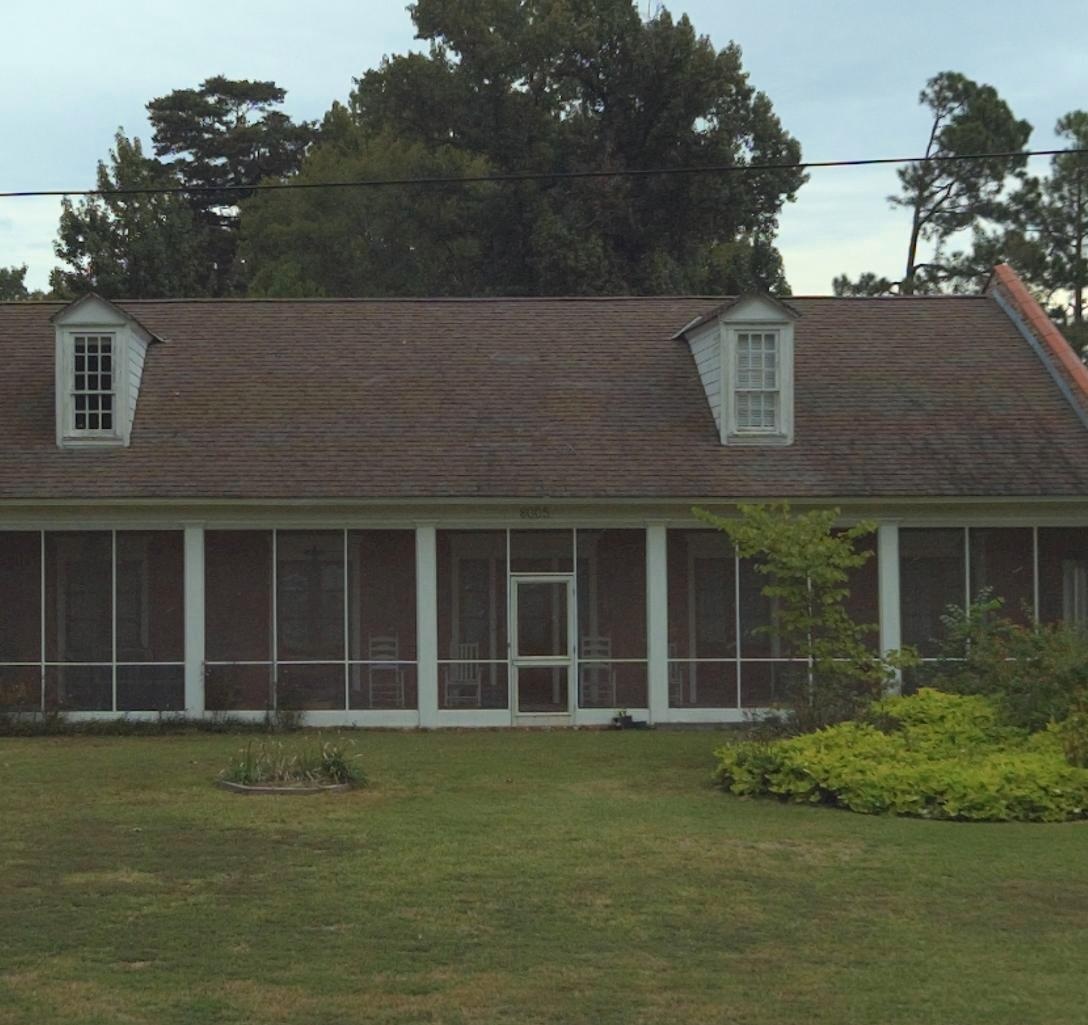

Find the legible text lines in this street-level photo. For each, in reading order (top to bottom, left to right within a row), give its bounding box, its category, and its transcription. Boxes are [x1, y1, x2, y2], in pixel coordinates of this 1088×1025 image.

[519, 506, 551, 519] StreetNumber: 8005